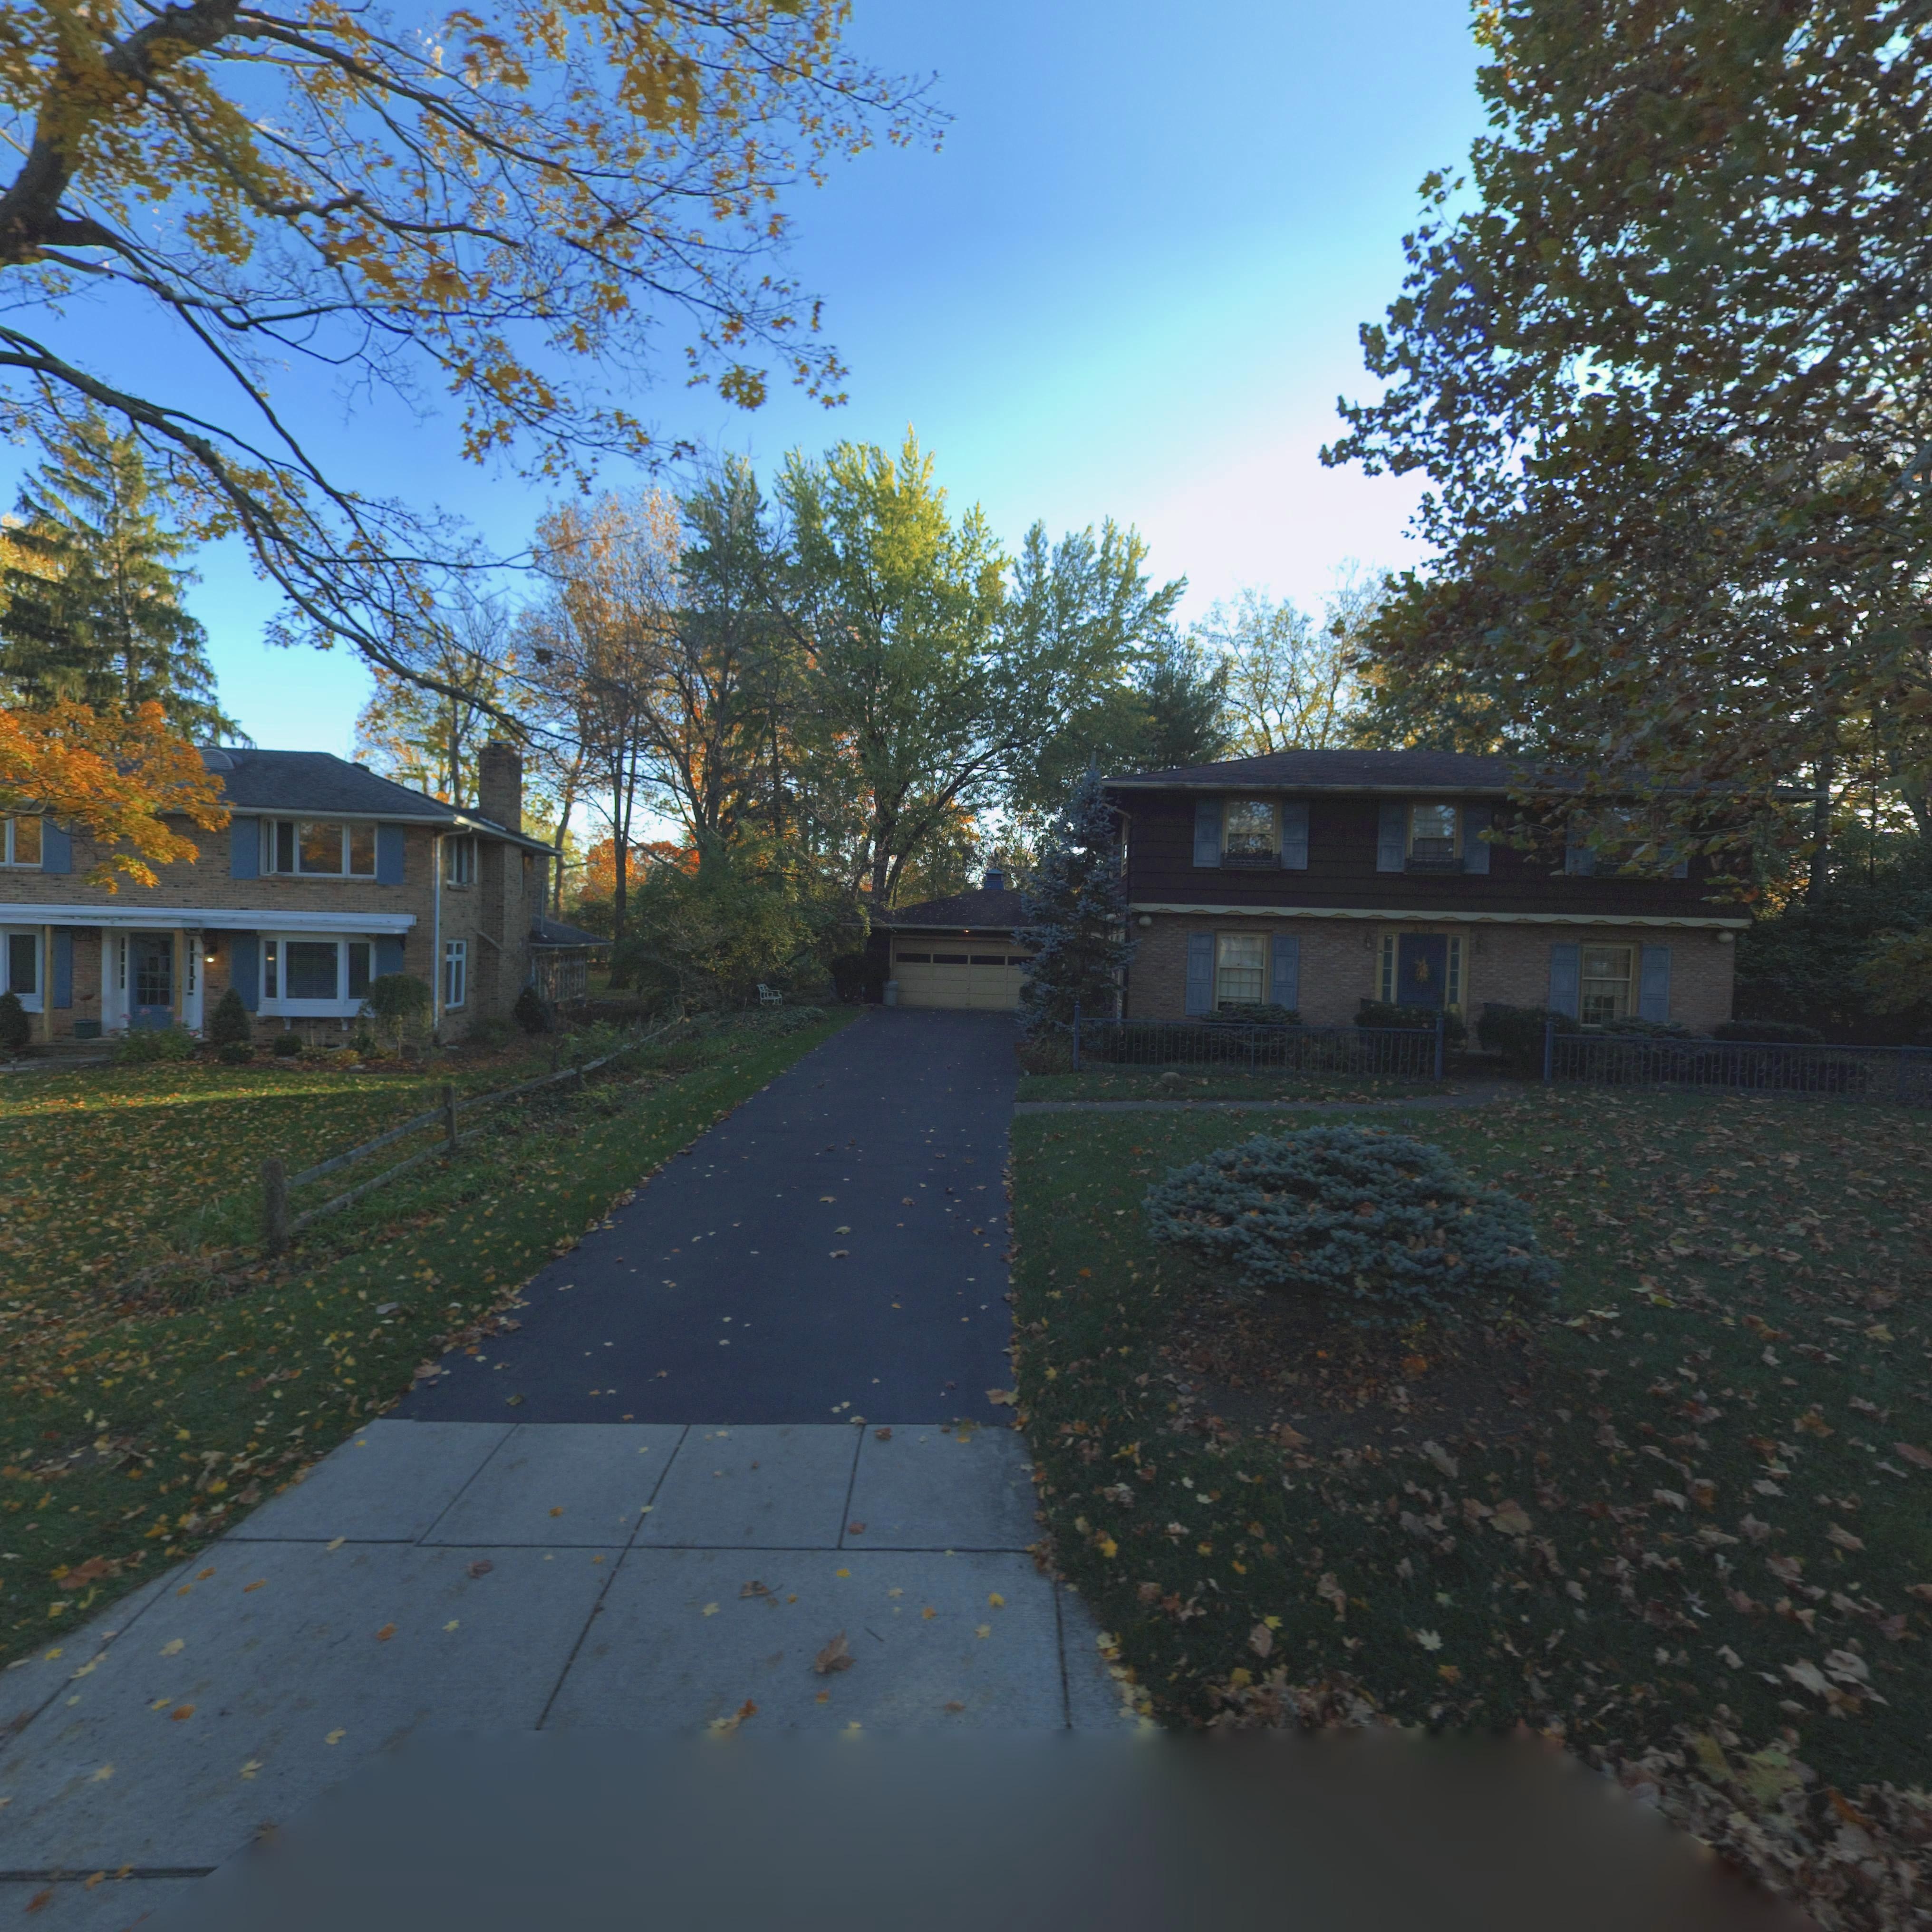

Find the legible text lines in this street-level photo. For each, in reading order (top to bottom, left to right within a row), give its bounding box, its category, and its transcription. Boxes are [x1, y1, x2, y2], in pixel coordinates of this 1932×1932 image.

[1412, 924, 1436, 934] StreetNumber: 4*8